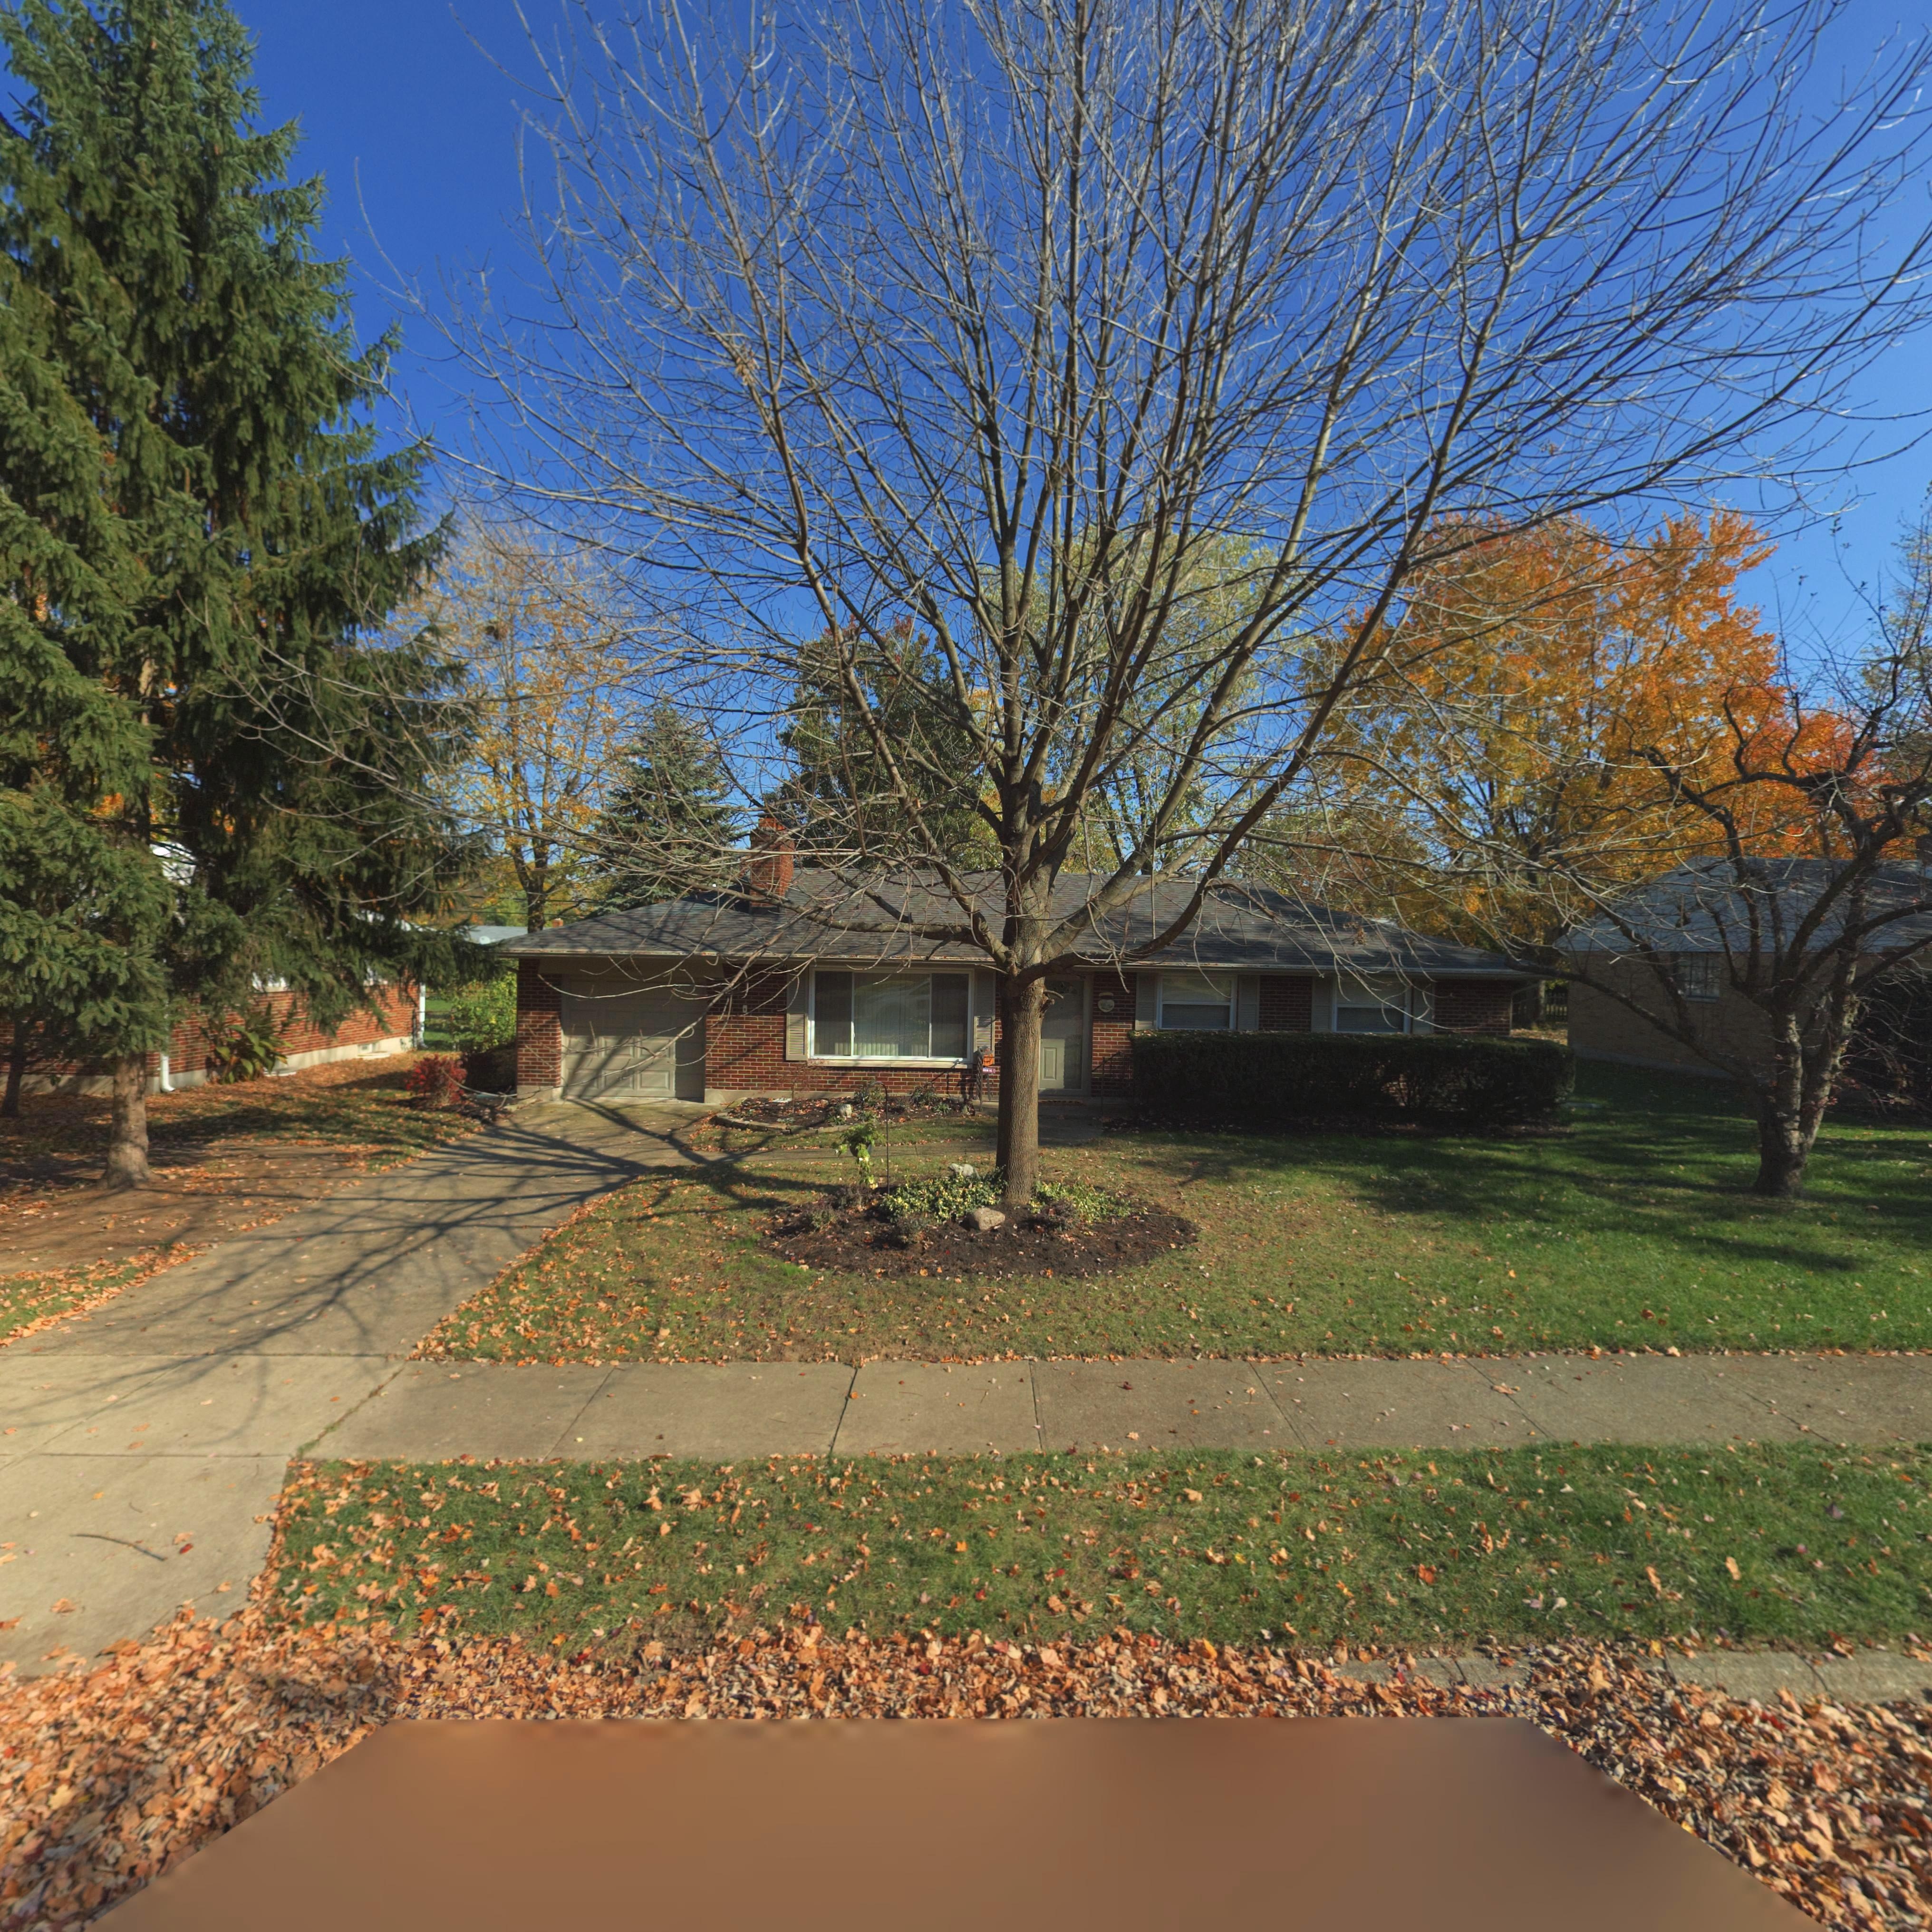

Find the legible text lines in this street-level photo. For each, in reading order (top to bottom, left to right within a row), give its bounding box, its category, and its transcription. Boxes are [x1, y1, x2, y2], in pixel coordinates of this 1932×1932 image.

[623, 963, 636, 973] StreetNumber: 86